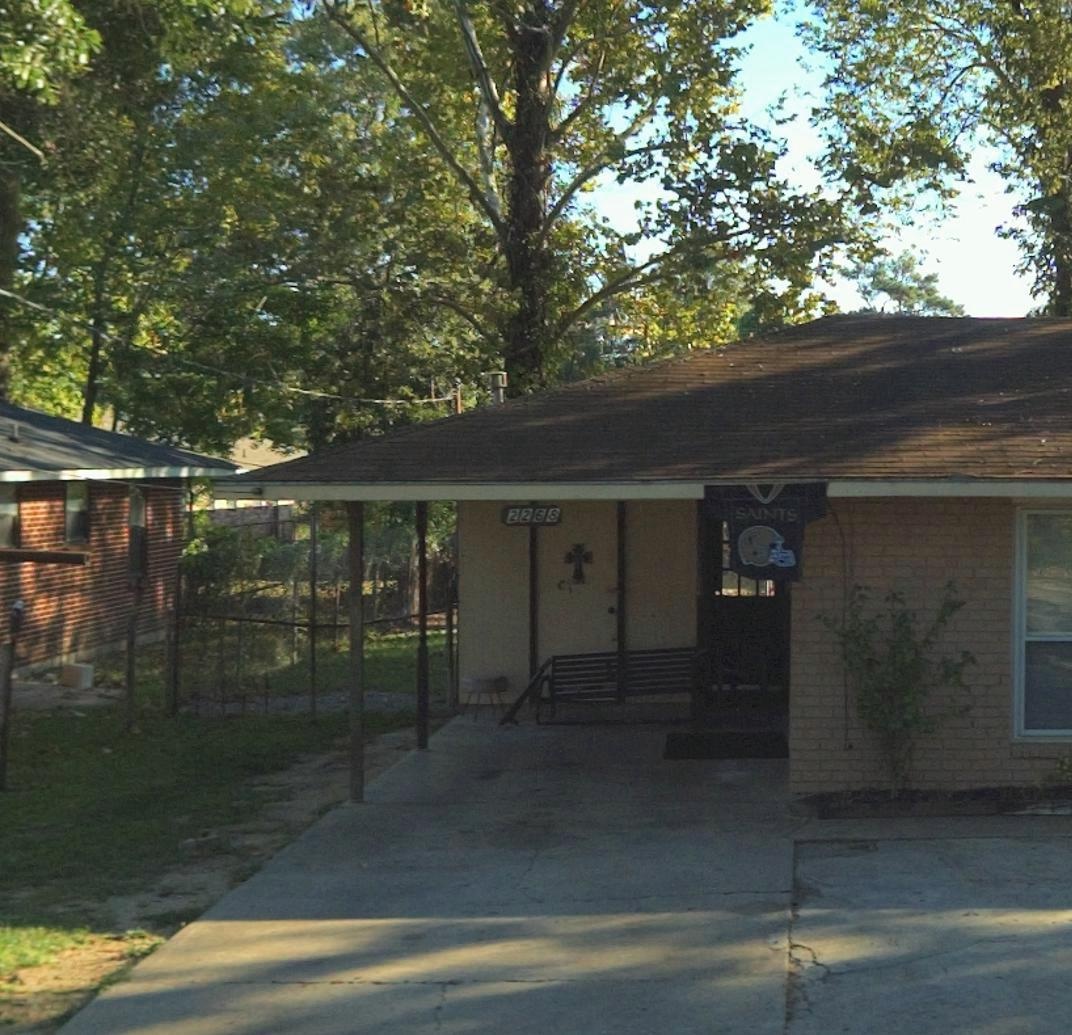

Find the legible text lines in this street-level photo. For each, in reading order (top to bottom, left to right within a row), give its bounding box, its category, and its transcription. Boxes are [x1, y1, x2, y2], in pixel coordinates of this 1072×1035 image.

[506, 507, 563, 523] StreetNumber: 2268
[733, 506, 800, 524] None: SAINTS